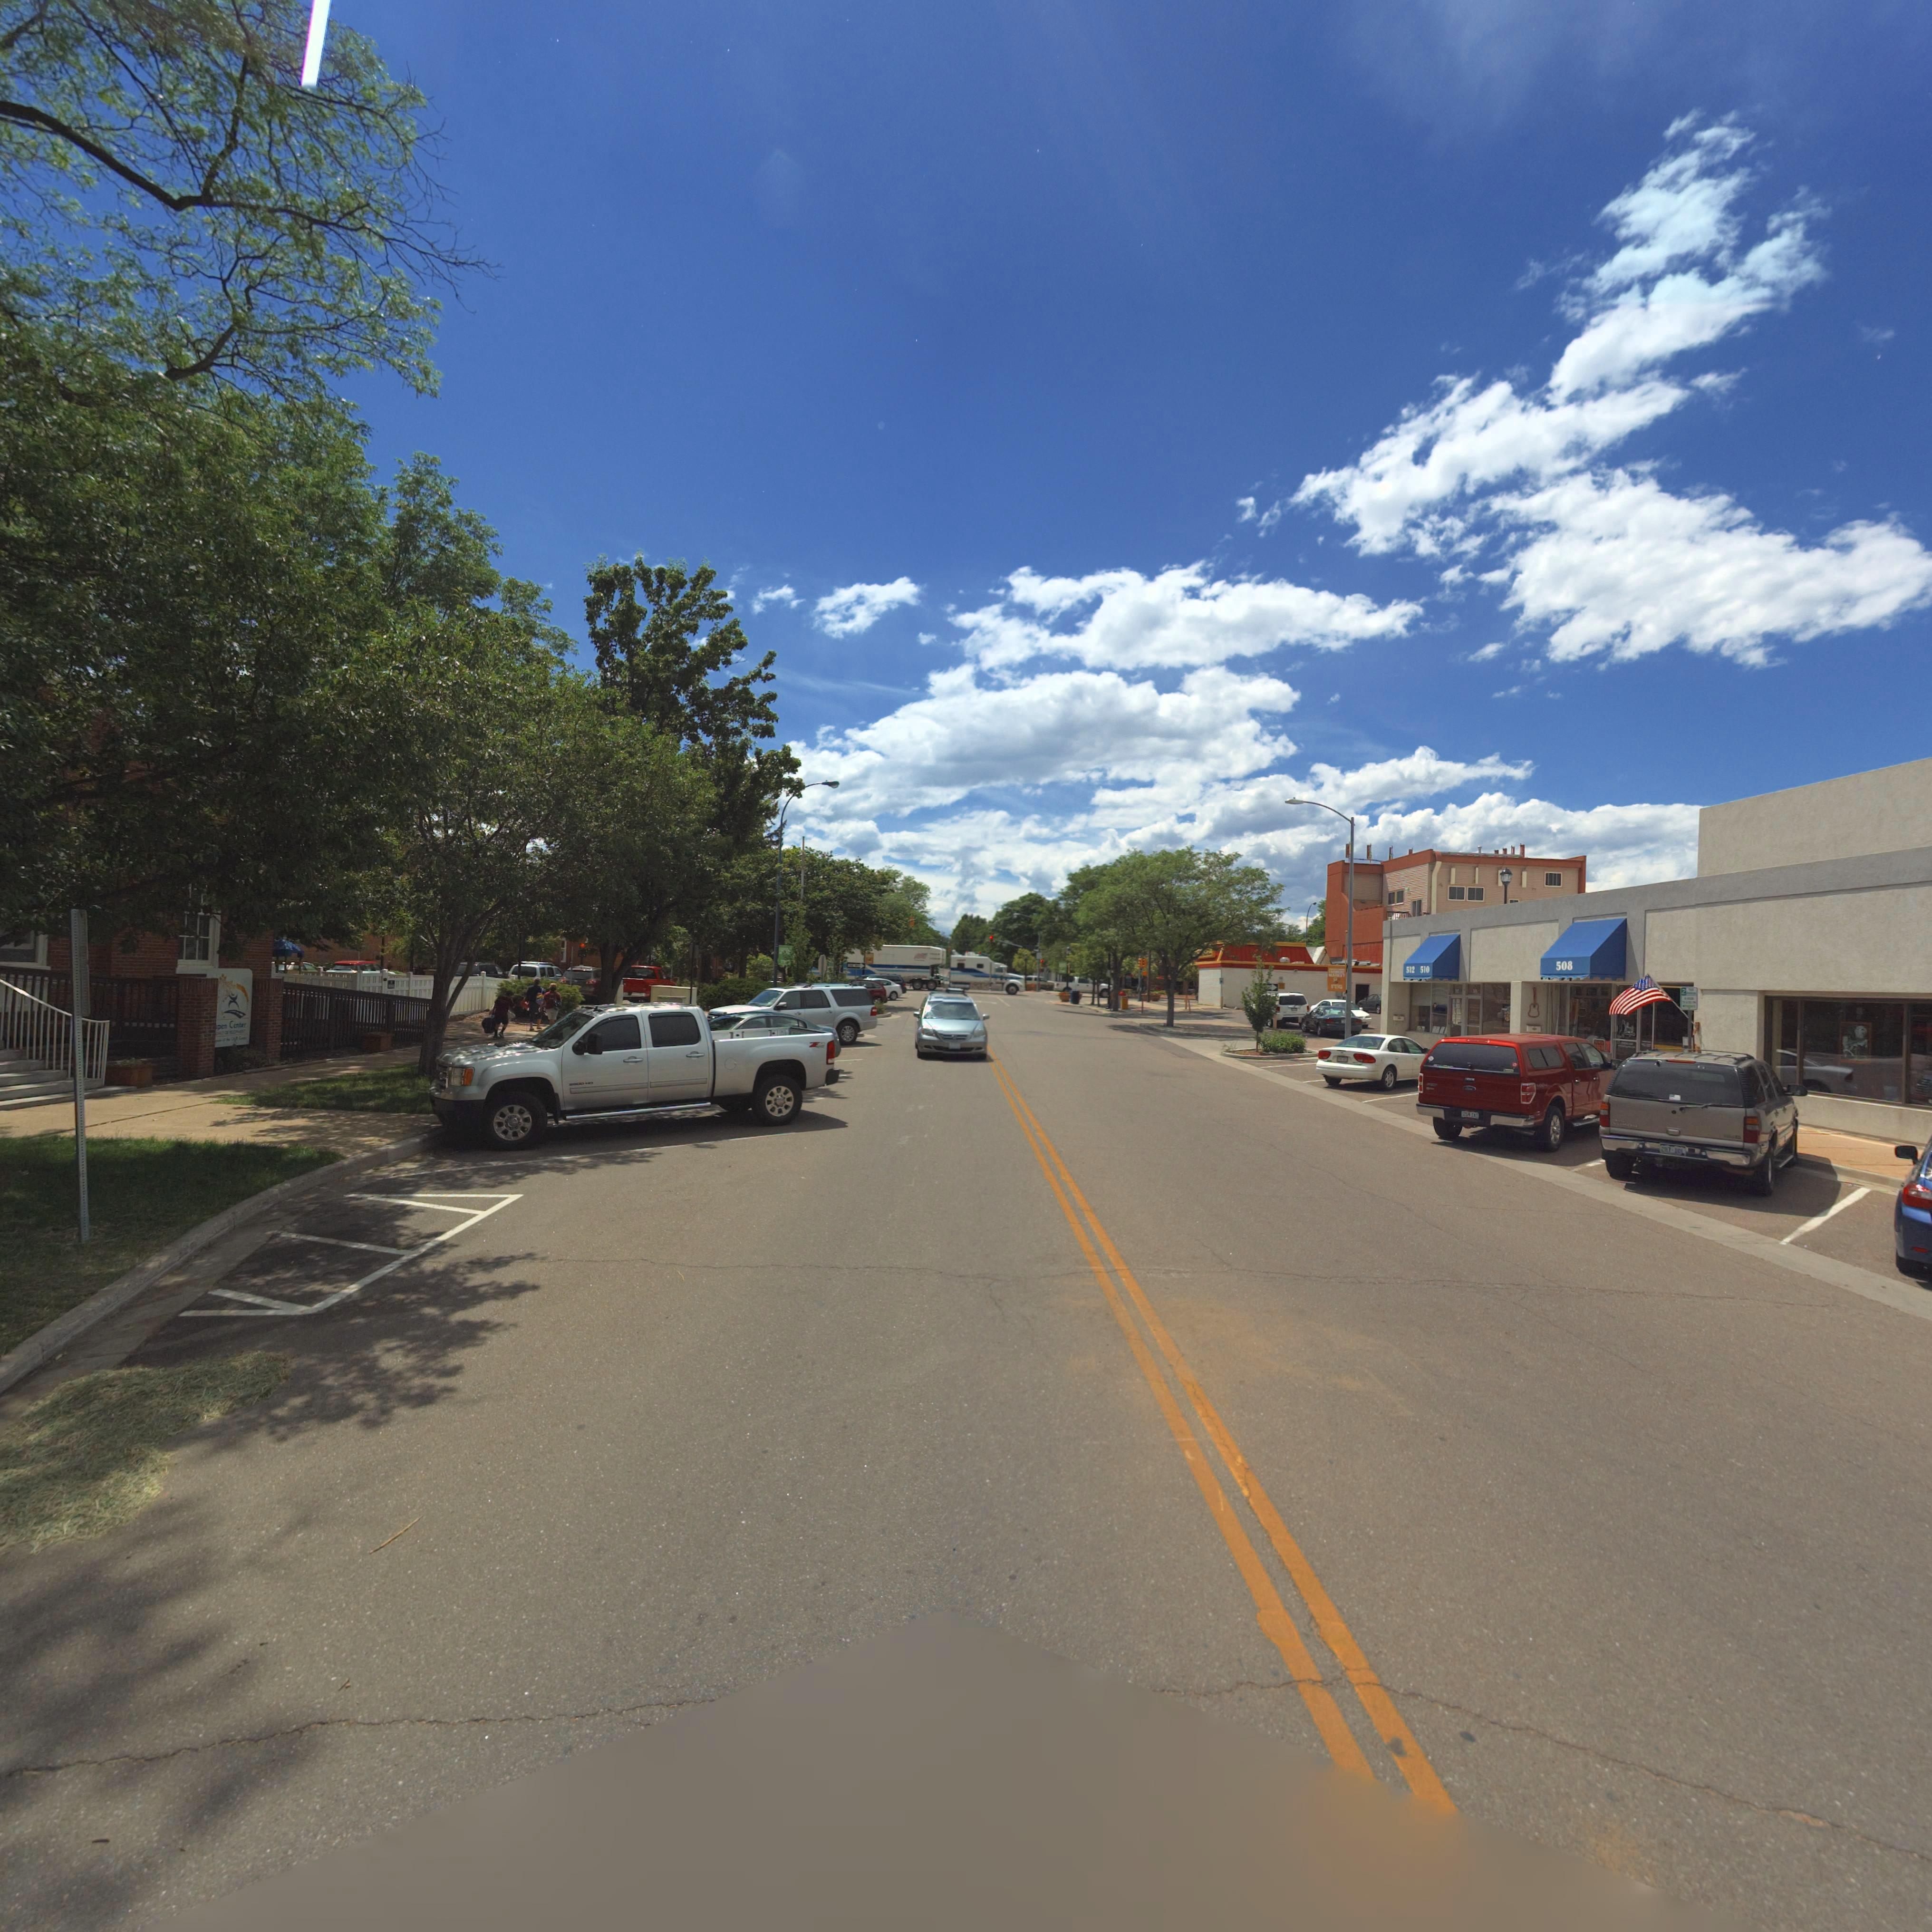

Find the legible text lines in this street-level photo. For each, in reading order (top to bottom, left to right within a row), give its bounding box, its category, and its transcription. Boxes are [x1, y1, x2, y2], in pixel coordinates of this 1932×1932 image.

[1405, 966, 1415, 973] StreetNumber: 512
[1420, 966, 1430, 973] StreetNumber: 510
[1555, 960, 1573, 971] StreetNumber: 508
[217, 1019, 247, 1031] BusinessName: pen Center